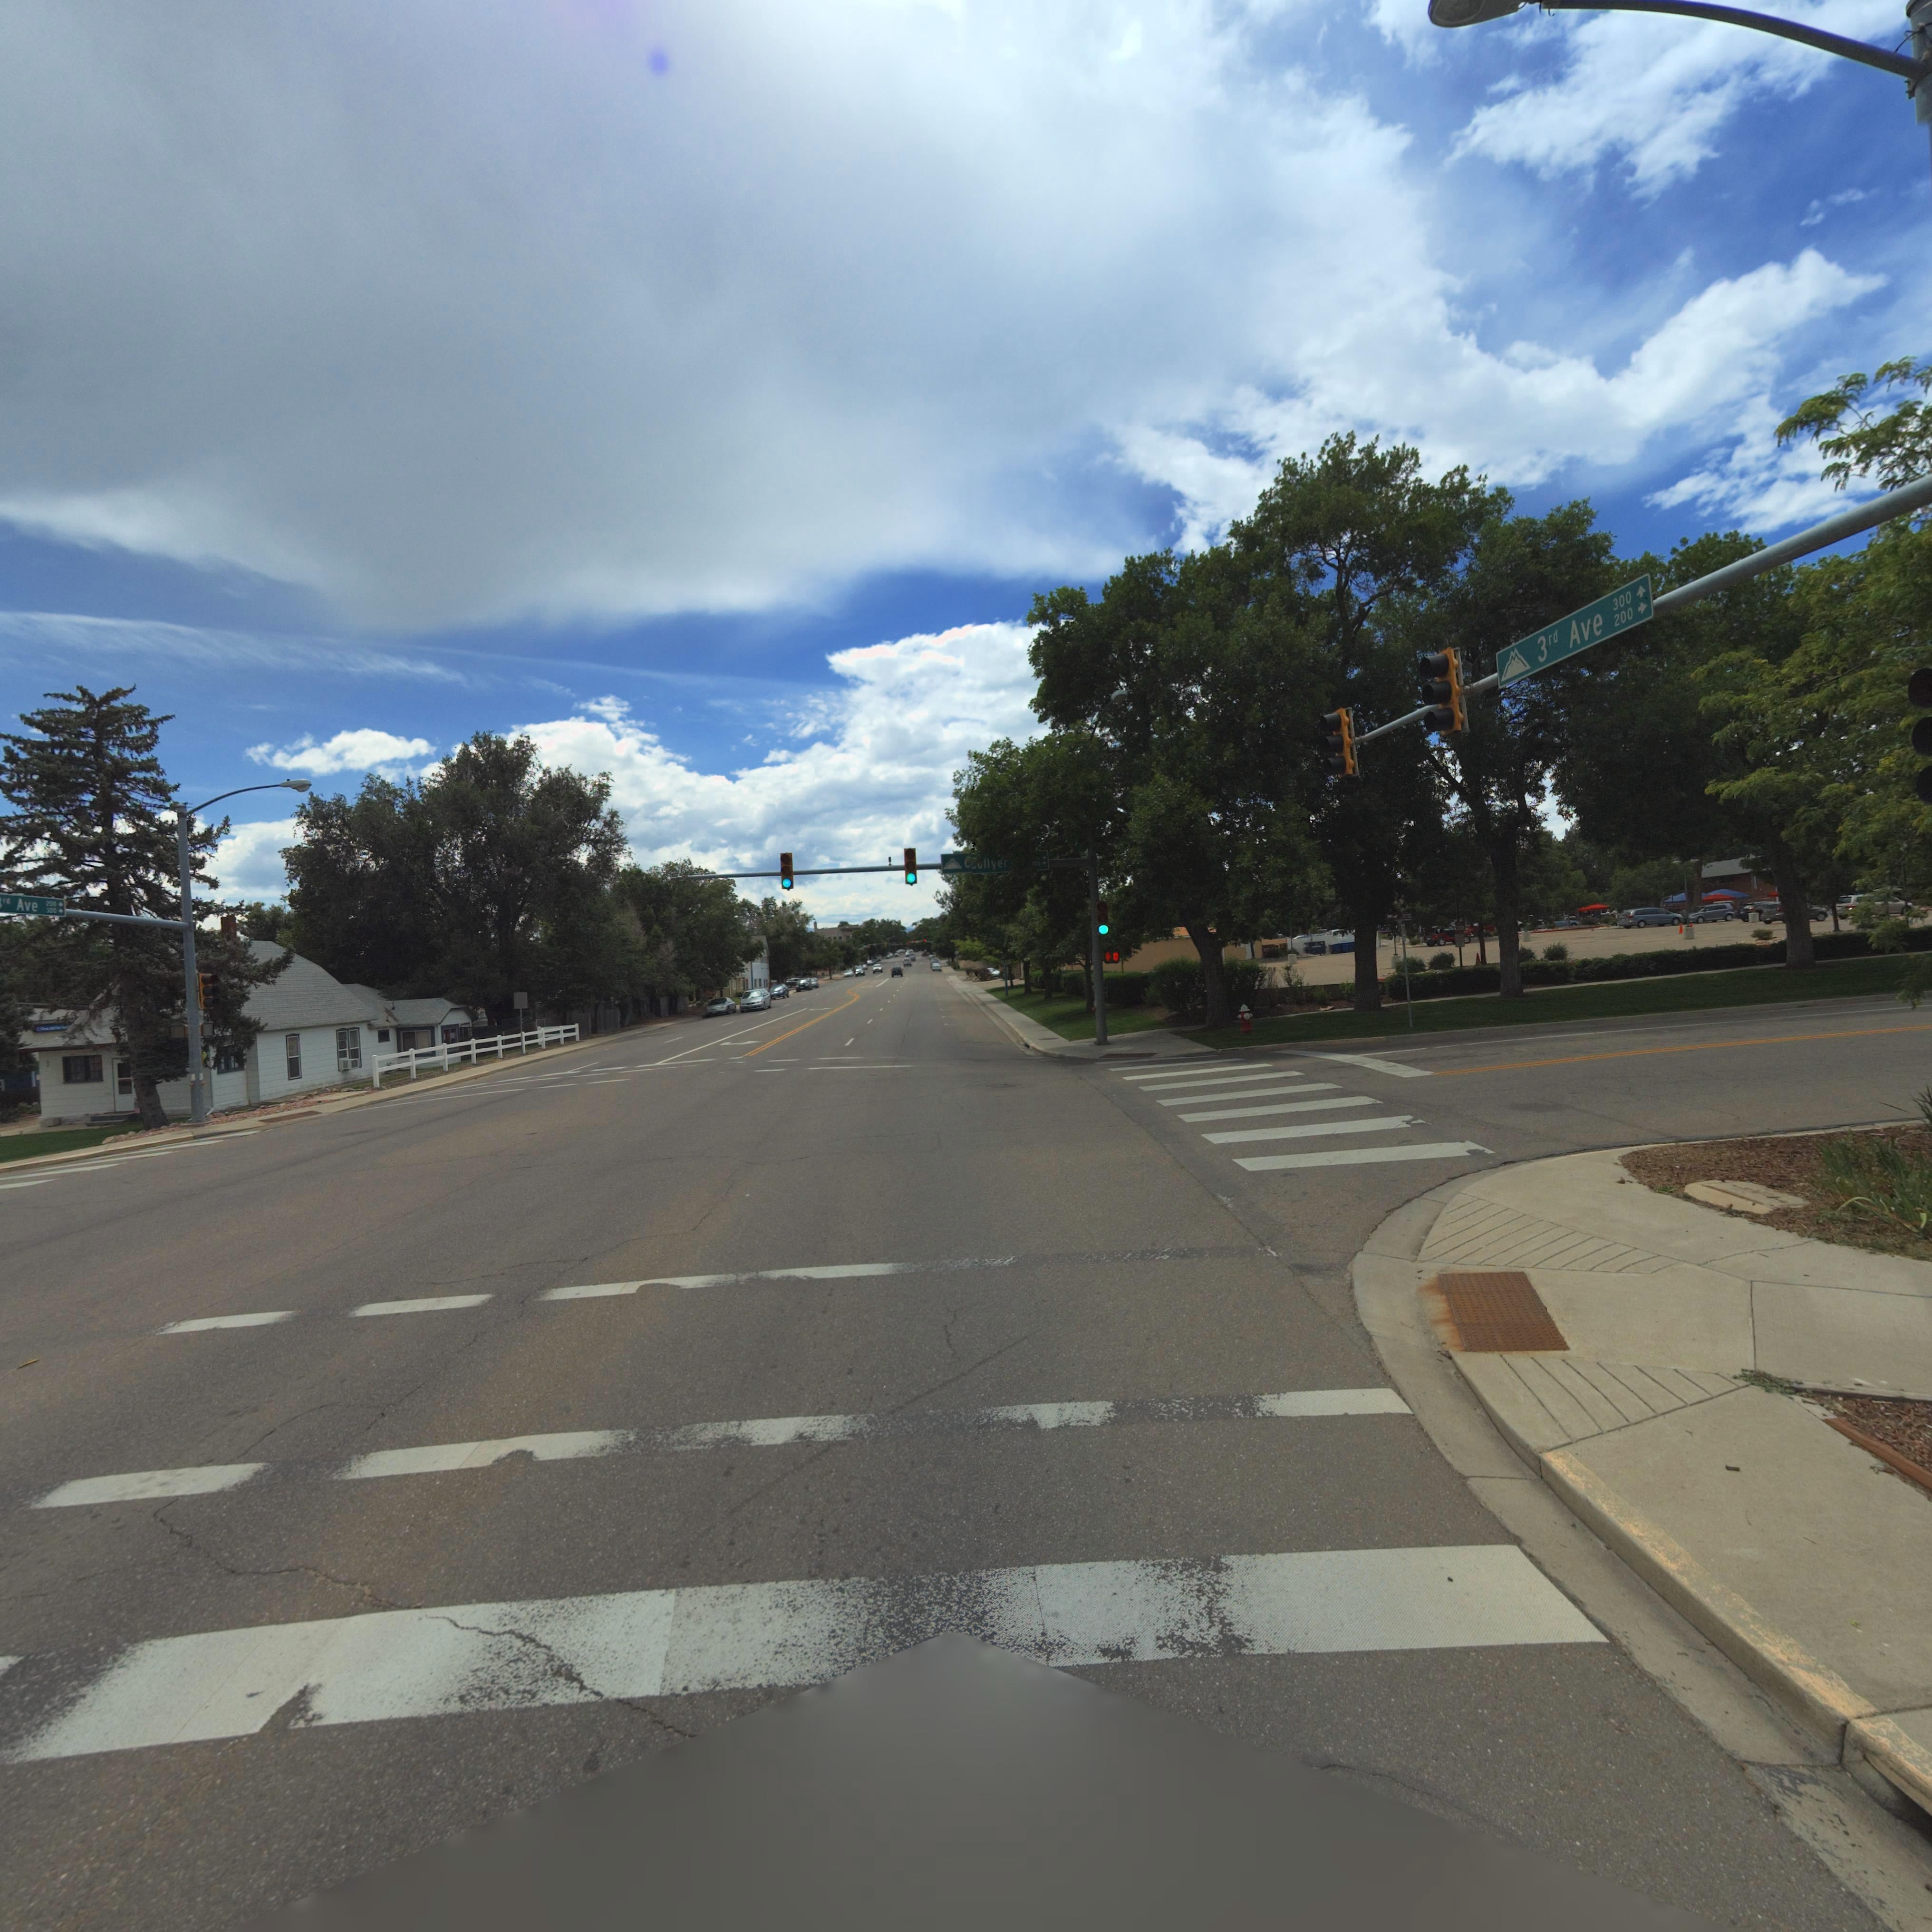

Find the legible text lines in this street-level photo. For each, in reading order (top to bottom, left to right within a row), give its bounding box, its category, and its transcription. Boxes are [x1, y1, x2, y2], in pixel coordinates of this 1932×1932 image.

[1613, 590, 1633, 611] StreetNumberRange: 300
[1614, 601, 1648, 628] StreetNumberRange: 200->
[1536, 612, 1604, 663] StreetName: 3rd Ave
[963, 855, 1009, 871] StreetName: CCollyer
[1031, 860, 1047, 866] StreetNumberRange: 300->
[2, 896, 39, 913] StreetName: rd Ave
[45, 900, 57, 907] StreetNumberRange: 200
[45, 907, 64, 913] StreetNumberRange: 300->